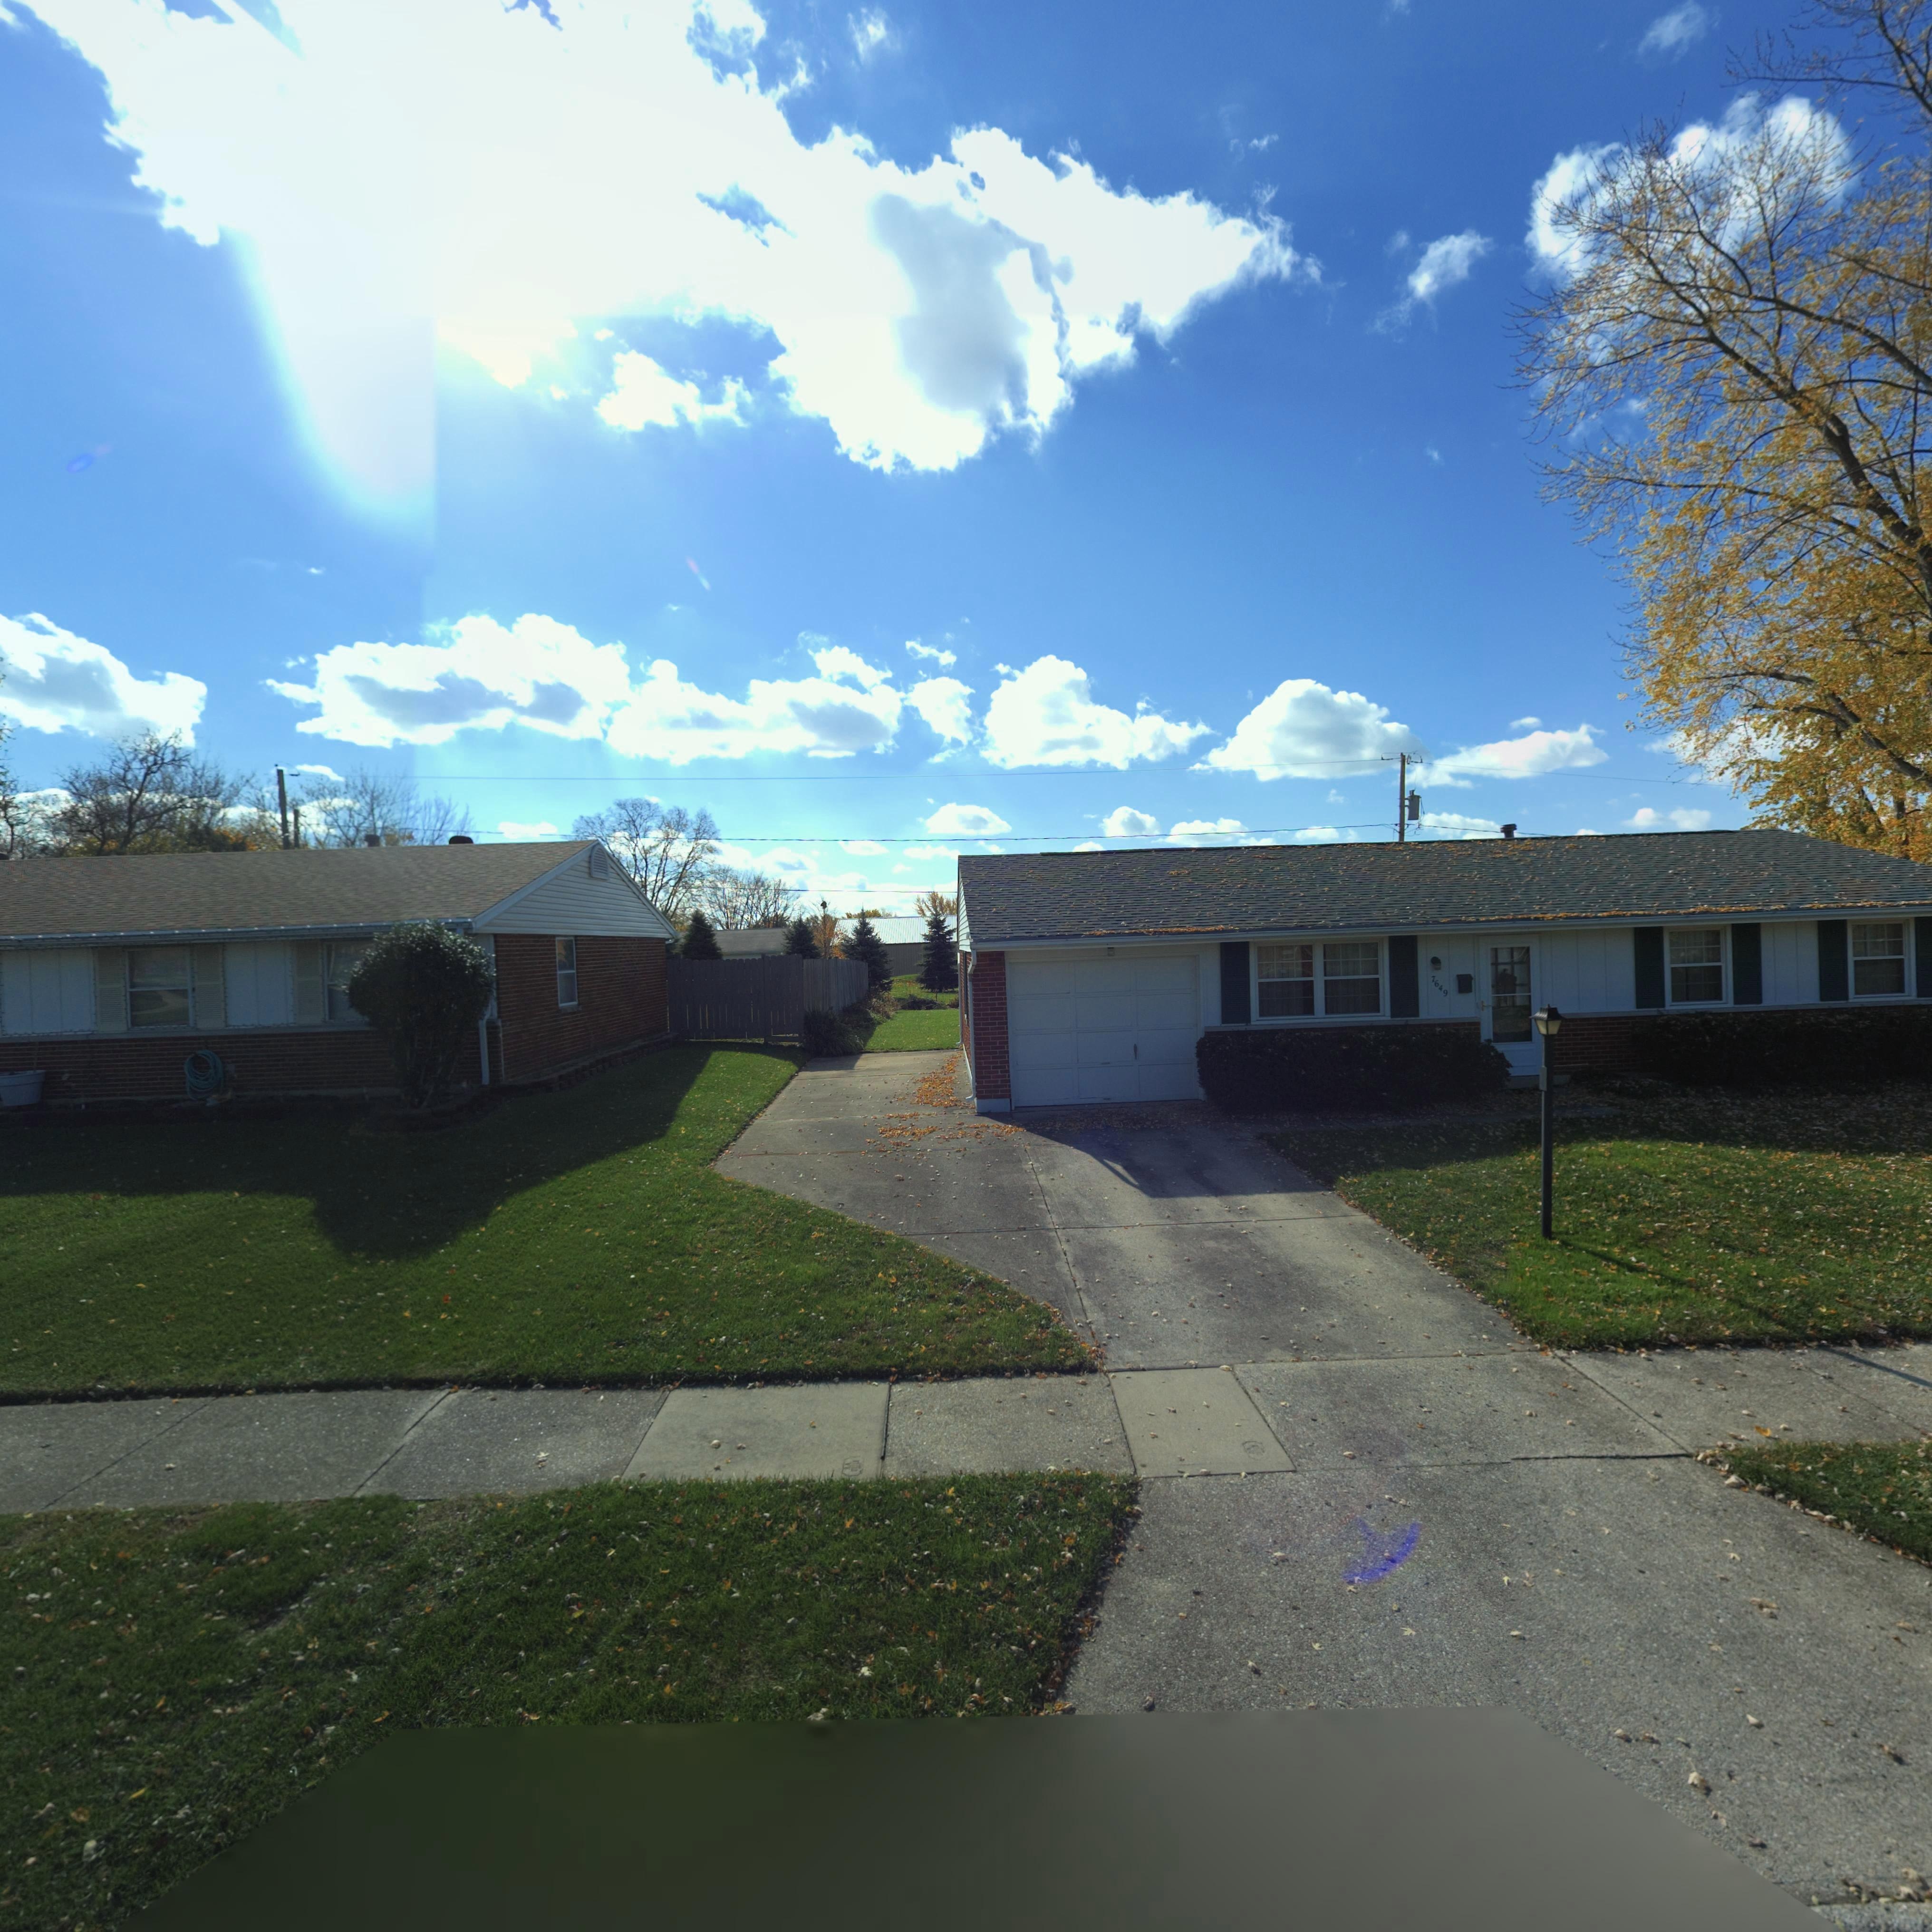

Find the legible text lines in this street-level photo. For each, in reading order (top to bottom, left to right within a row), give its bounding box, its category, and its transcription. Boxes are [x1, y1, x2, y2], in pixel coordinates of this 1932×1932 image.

[1431, 975, 1448, 997] StreetNumber: 7649